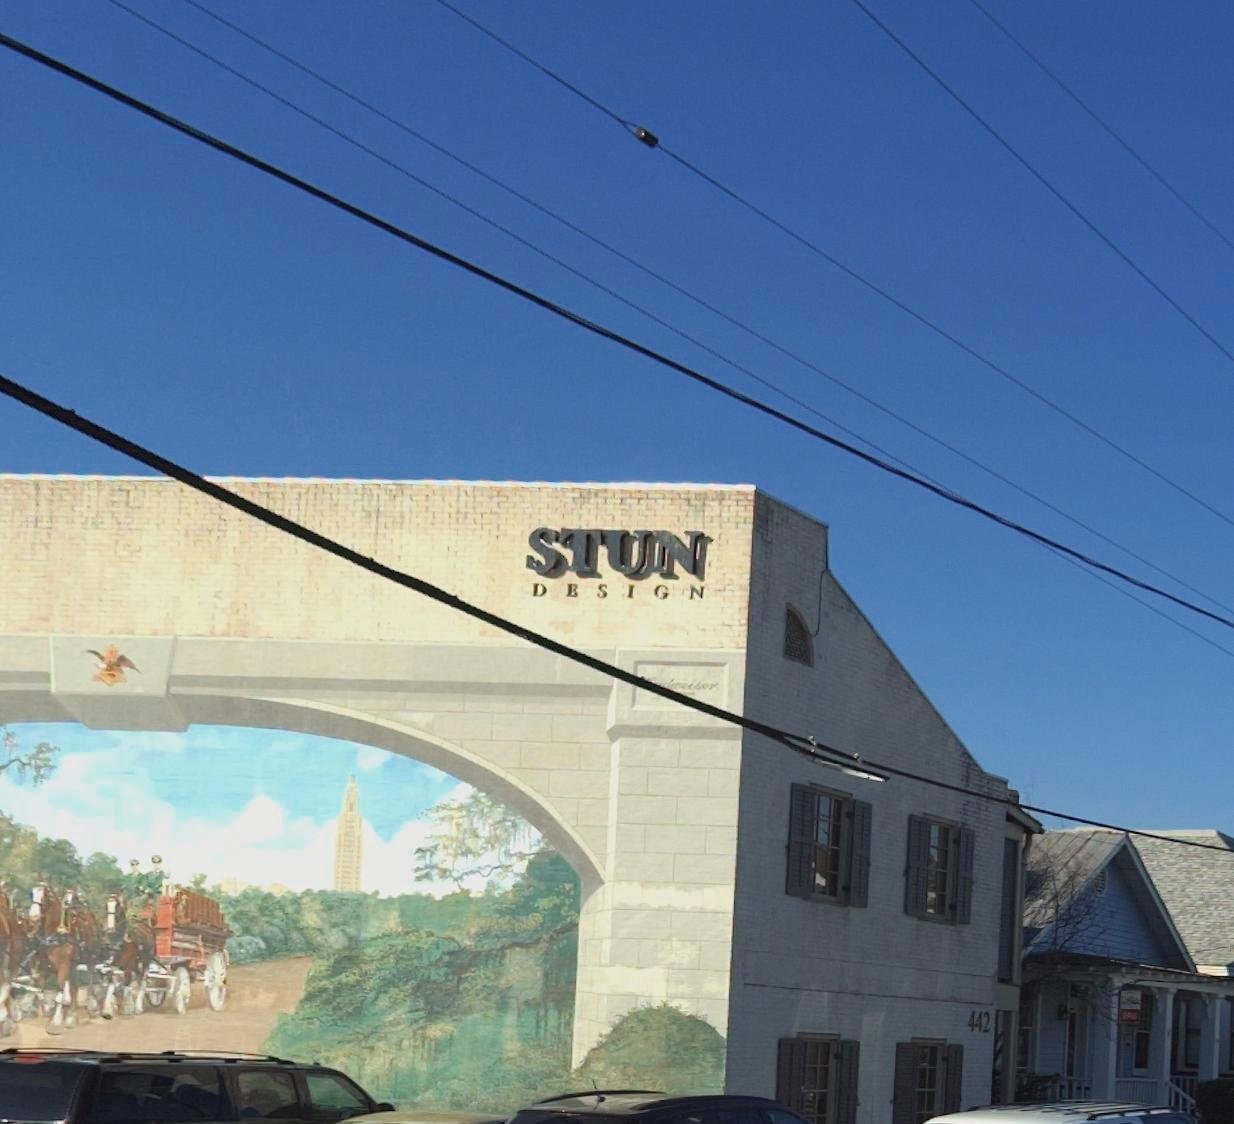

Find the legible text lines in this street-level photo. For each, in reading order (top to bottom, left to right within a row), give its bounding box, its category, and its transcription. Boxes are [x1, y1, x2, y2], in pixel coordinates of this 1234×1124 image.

[521, 522, 711, 583] BusinessName: STUN
[528, 579, 708, 603] BusinessName: DESIGN
[964, 1007, 993, 1036] StreetNumber: 442